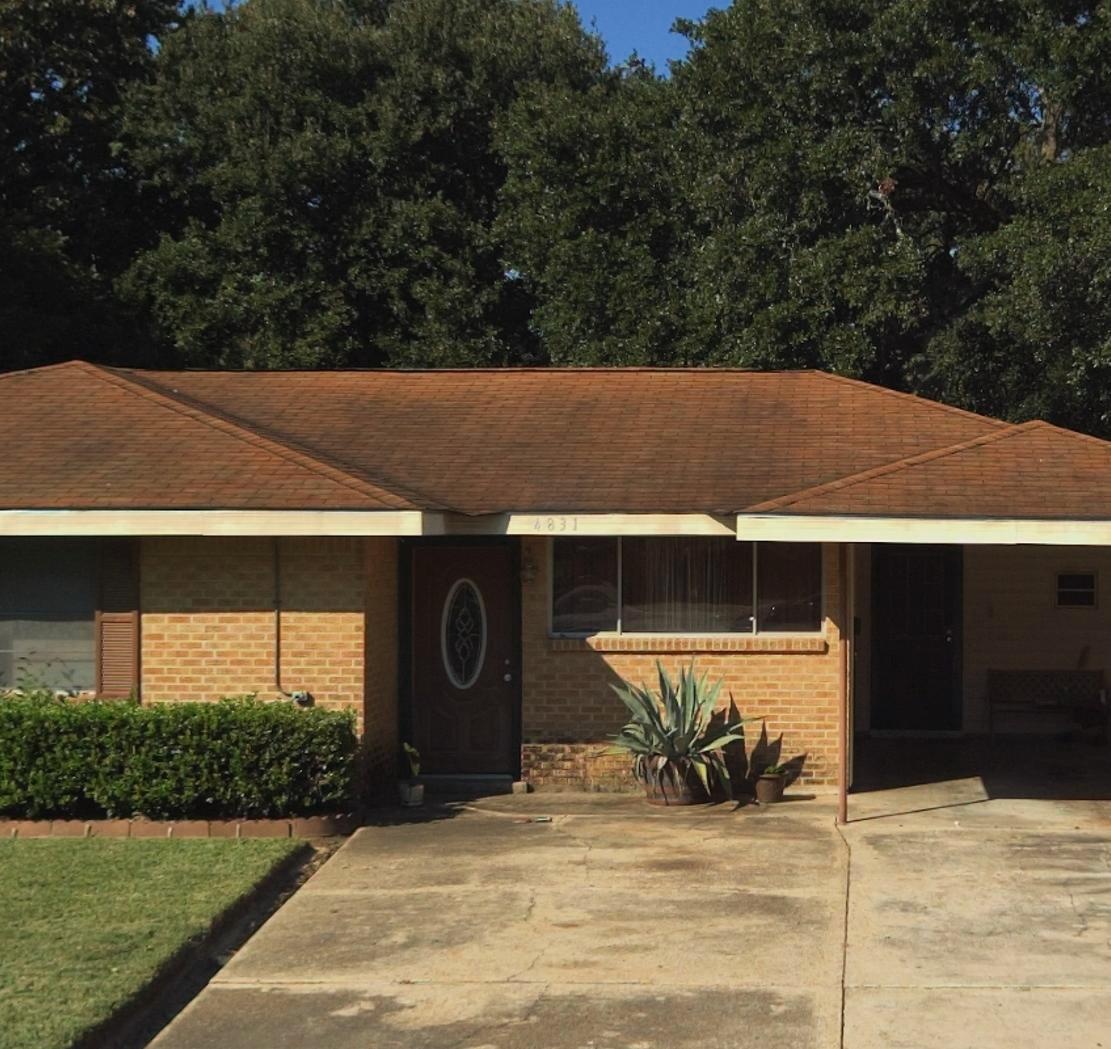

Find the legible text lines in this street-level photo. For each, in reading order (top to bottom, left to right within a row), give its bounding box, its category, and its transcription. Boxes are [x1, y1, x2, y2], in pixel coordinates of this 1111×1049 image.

[533, 517, 578, 532] StreetNumber: 4831